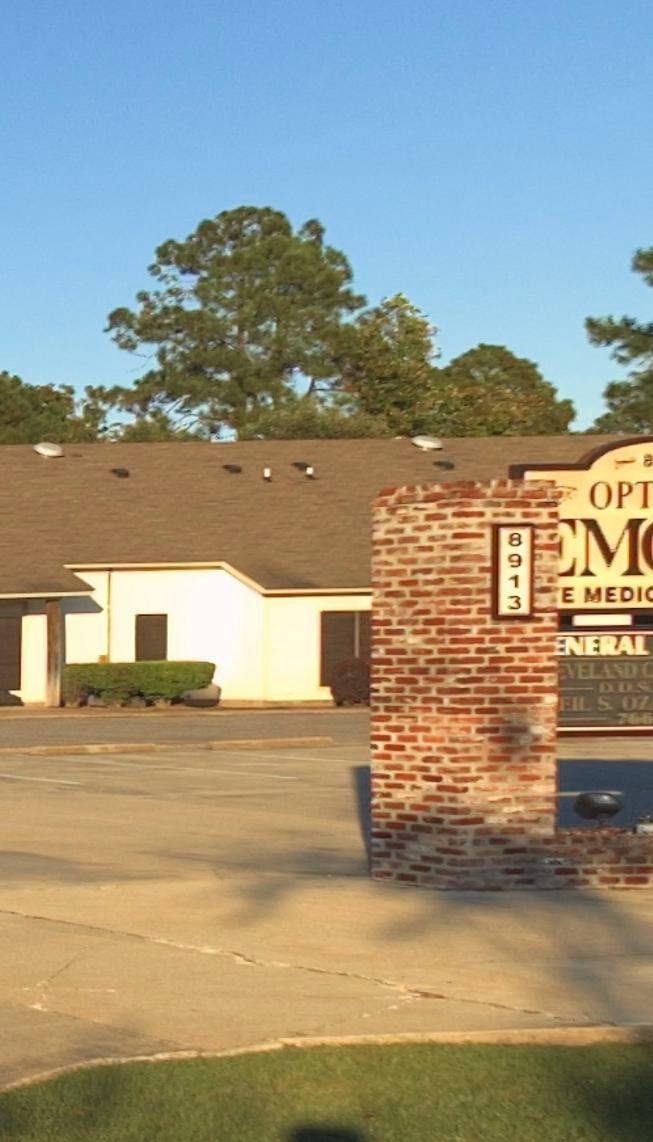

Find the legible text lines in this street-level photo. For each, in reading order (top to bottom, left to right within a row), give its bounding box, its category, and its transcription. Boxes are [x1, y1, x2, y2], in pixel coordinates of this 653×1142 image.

[588, 479, 653, 511] None: OPT
[577, 517, 649, 577] BusinessName: M
[506, 531, 524, 612] StreetNumber: 8913
[560, 585, 644, 604] None: E MEDI
[564, 635, 650, 656] BusinessName: NERAL
[566, 662, 638, 679] None: ELAND
[598, 680, 653, 695] None: D.D.S.
[559, 695, 650, 712] None: EIL S. OZ
[616, 712, 652, 725] None: 766